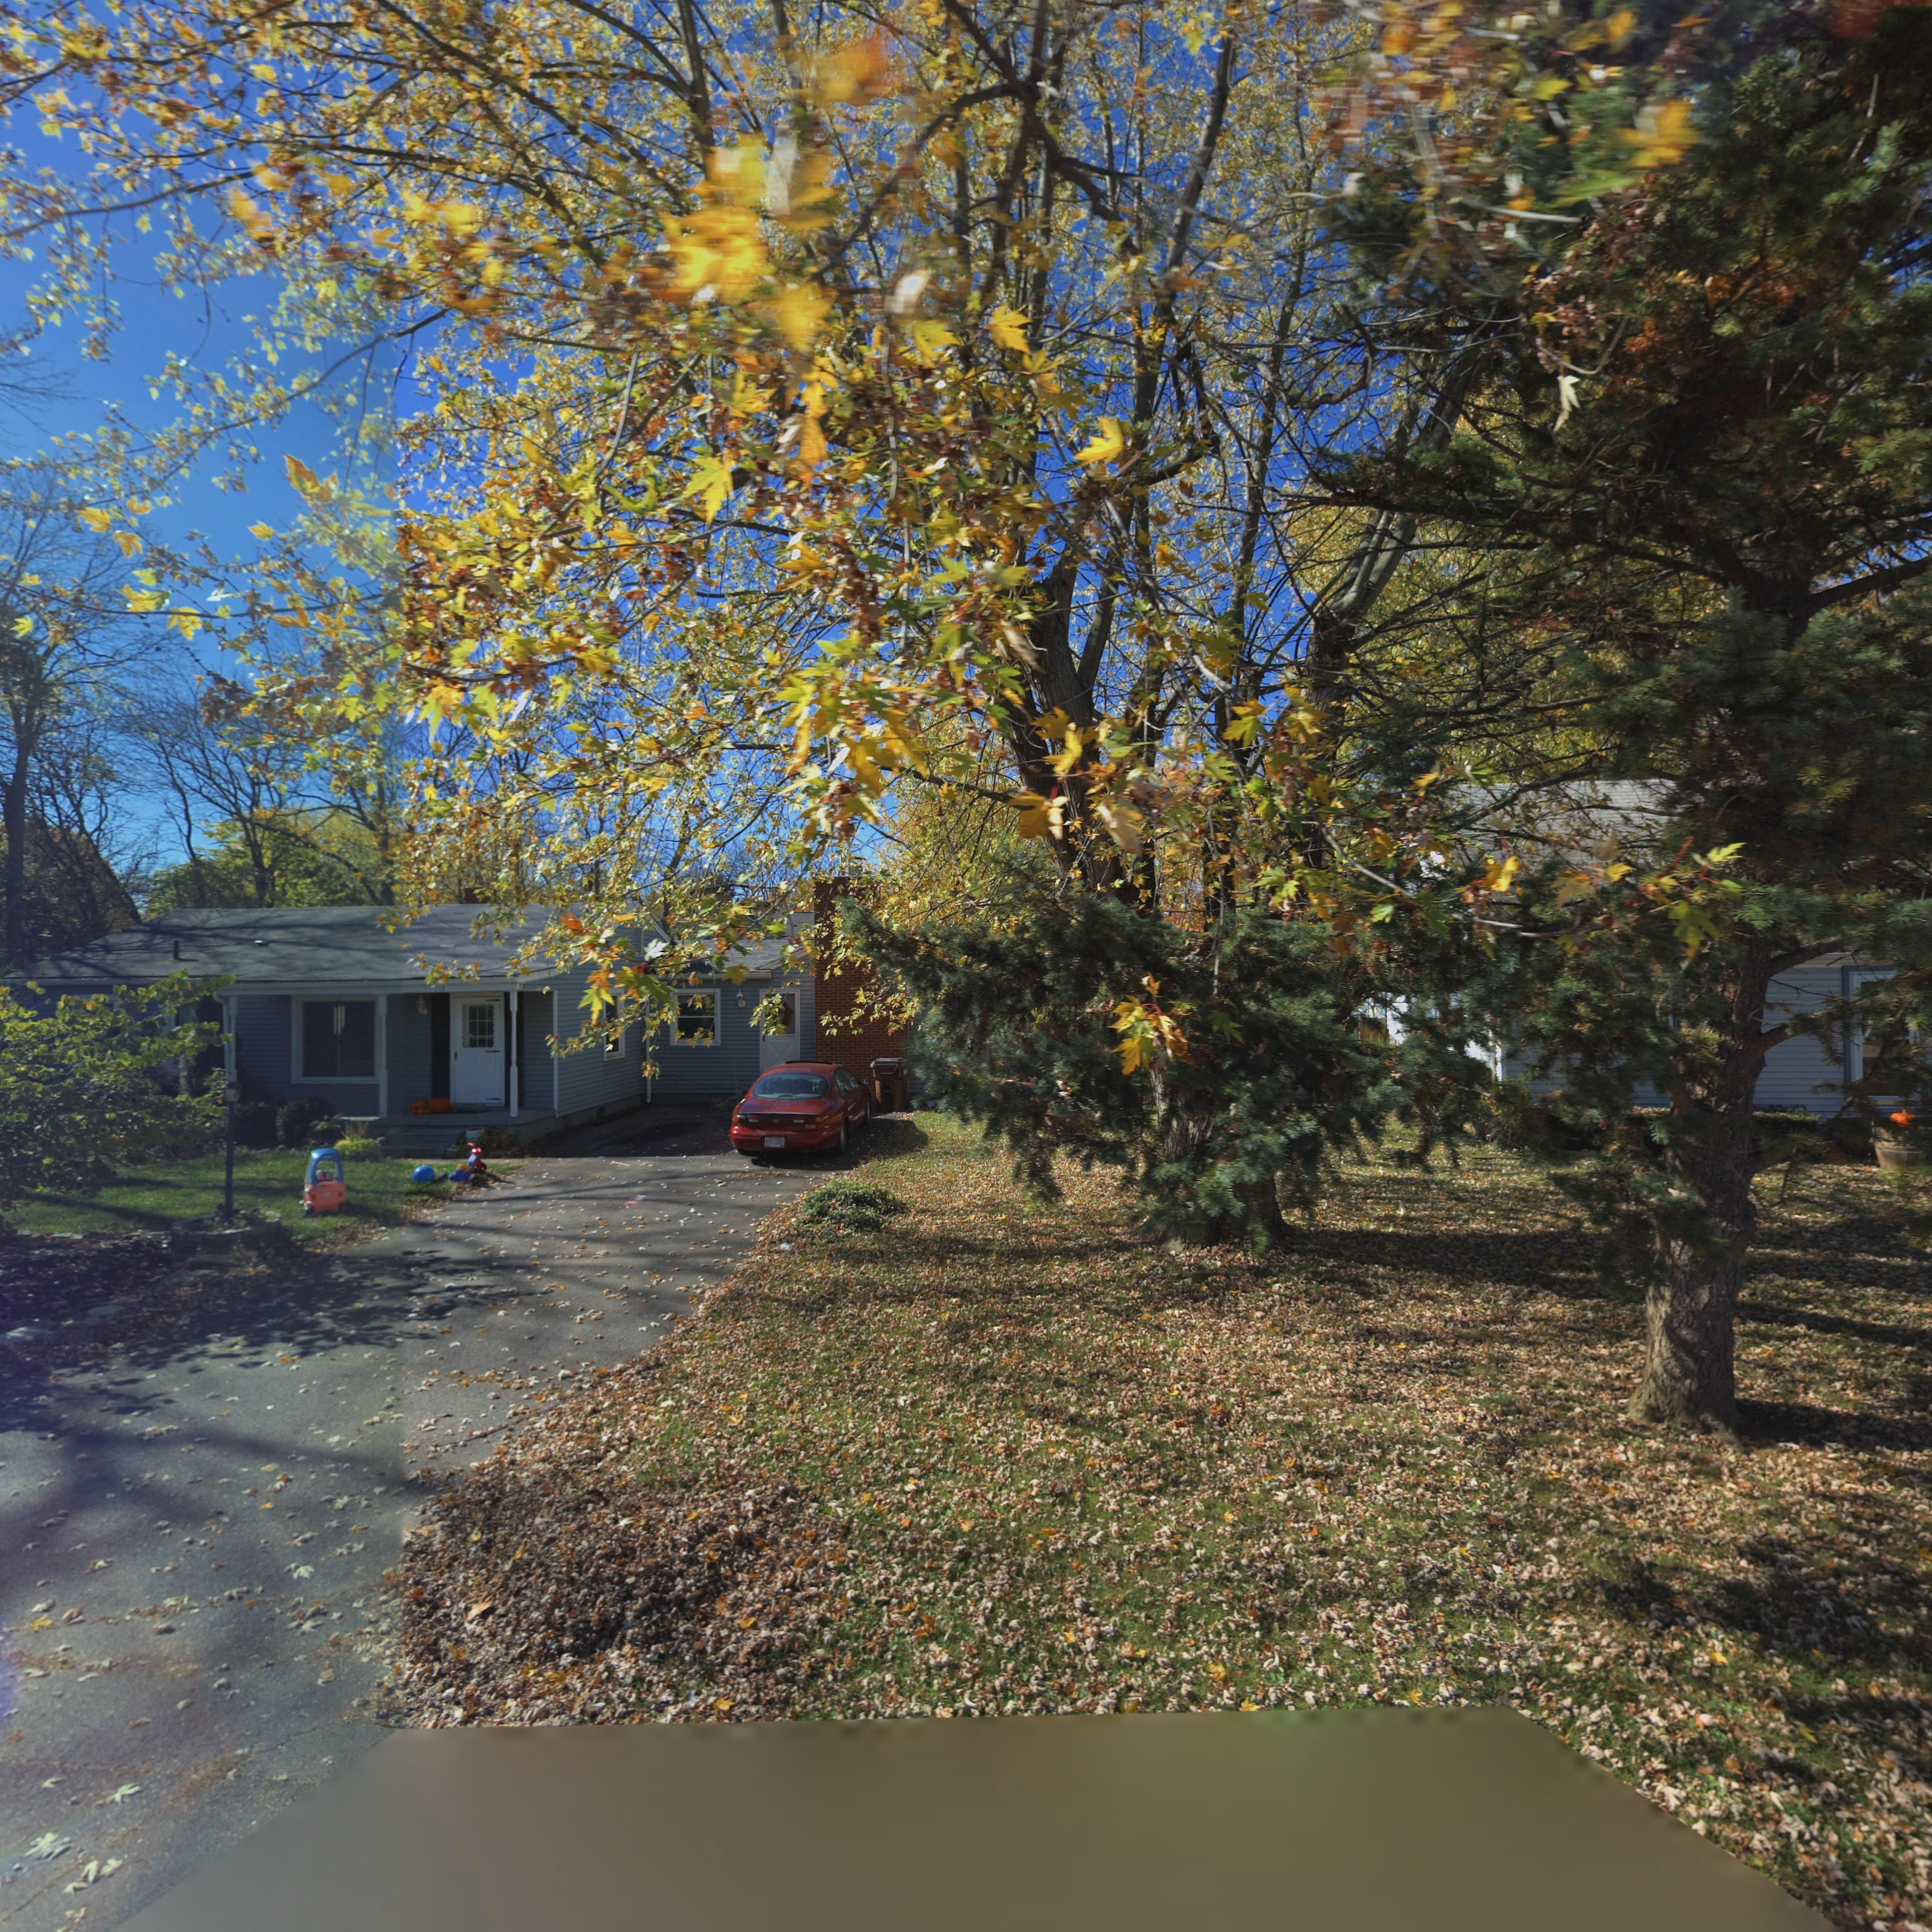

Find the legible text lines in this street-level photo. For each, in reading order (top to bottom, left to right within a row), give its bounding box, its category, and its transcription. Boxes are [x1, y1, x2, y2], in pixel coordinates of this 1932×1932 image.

[434, 985, 446, 992] StreetNumber: *1*